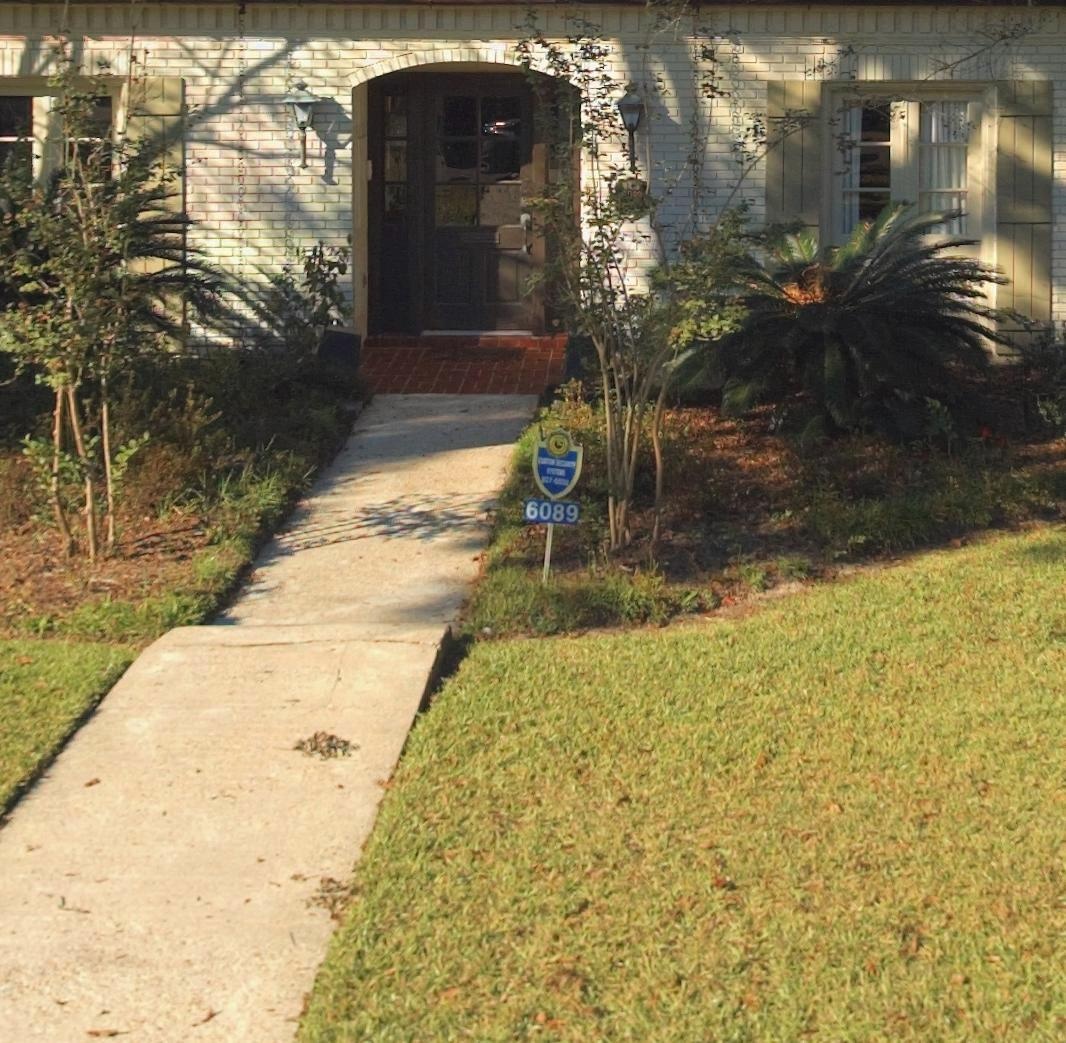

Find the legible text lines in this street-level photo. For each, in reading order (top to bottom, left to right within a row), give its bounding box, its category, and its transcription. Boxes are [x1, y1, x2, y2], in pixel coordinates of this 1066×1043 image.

[523, 499, 581, 525] StreetNumber: 6089